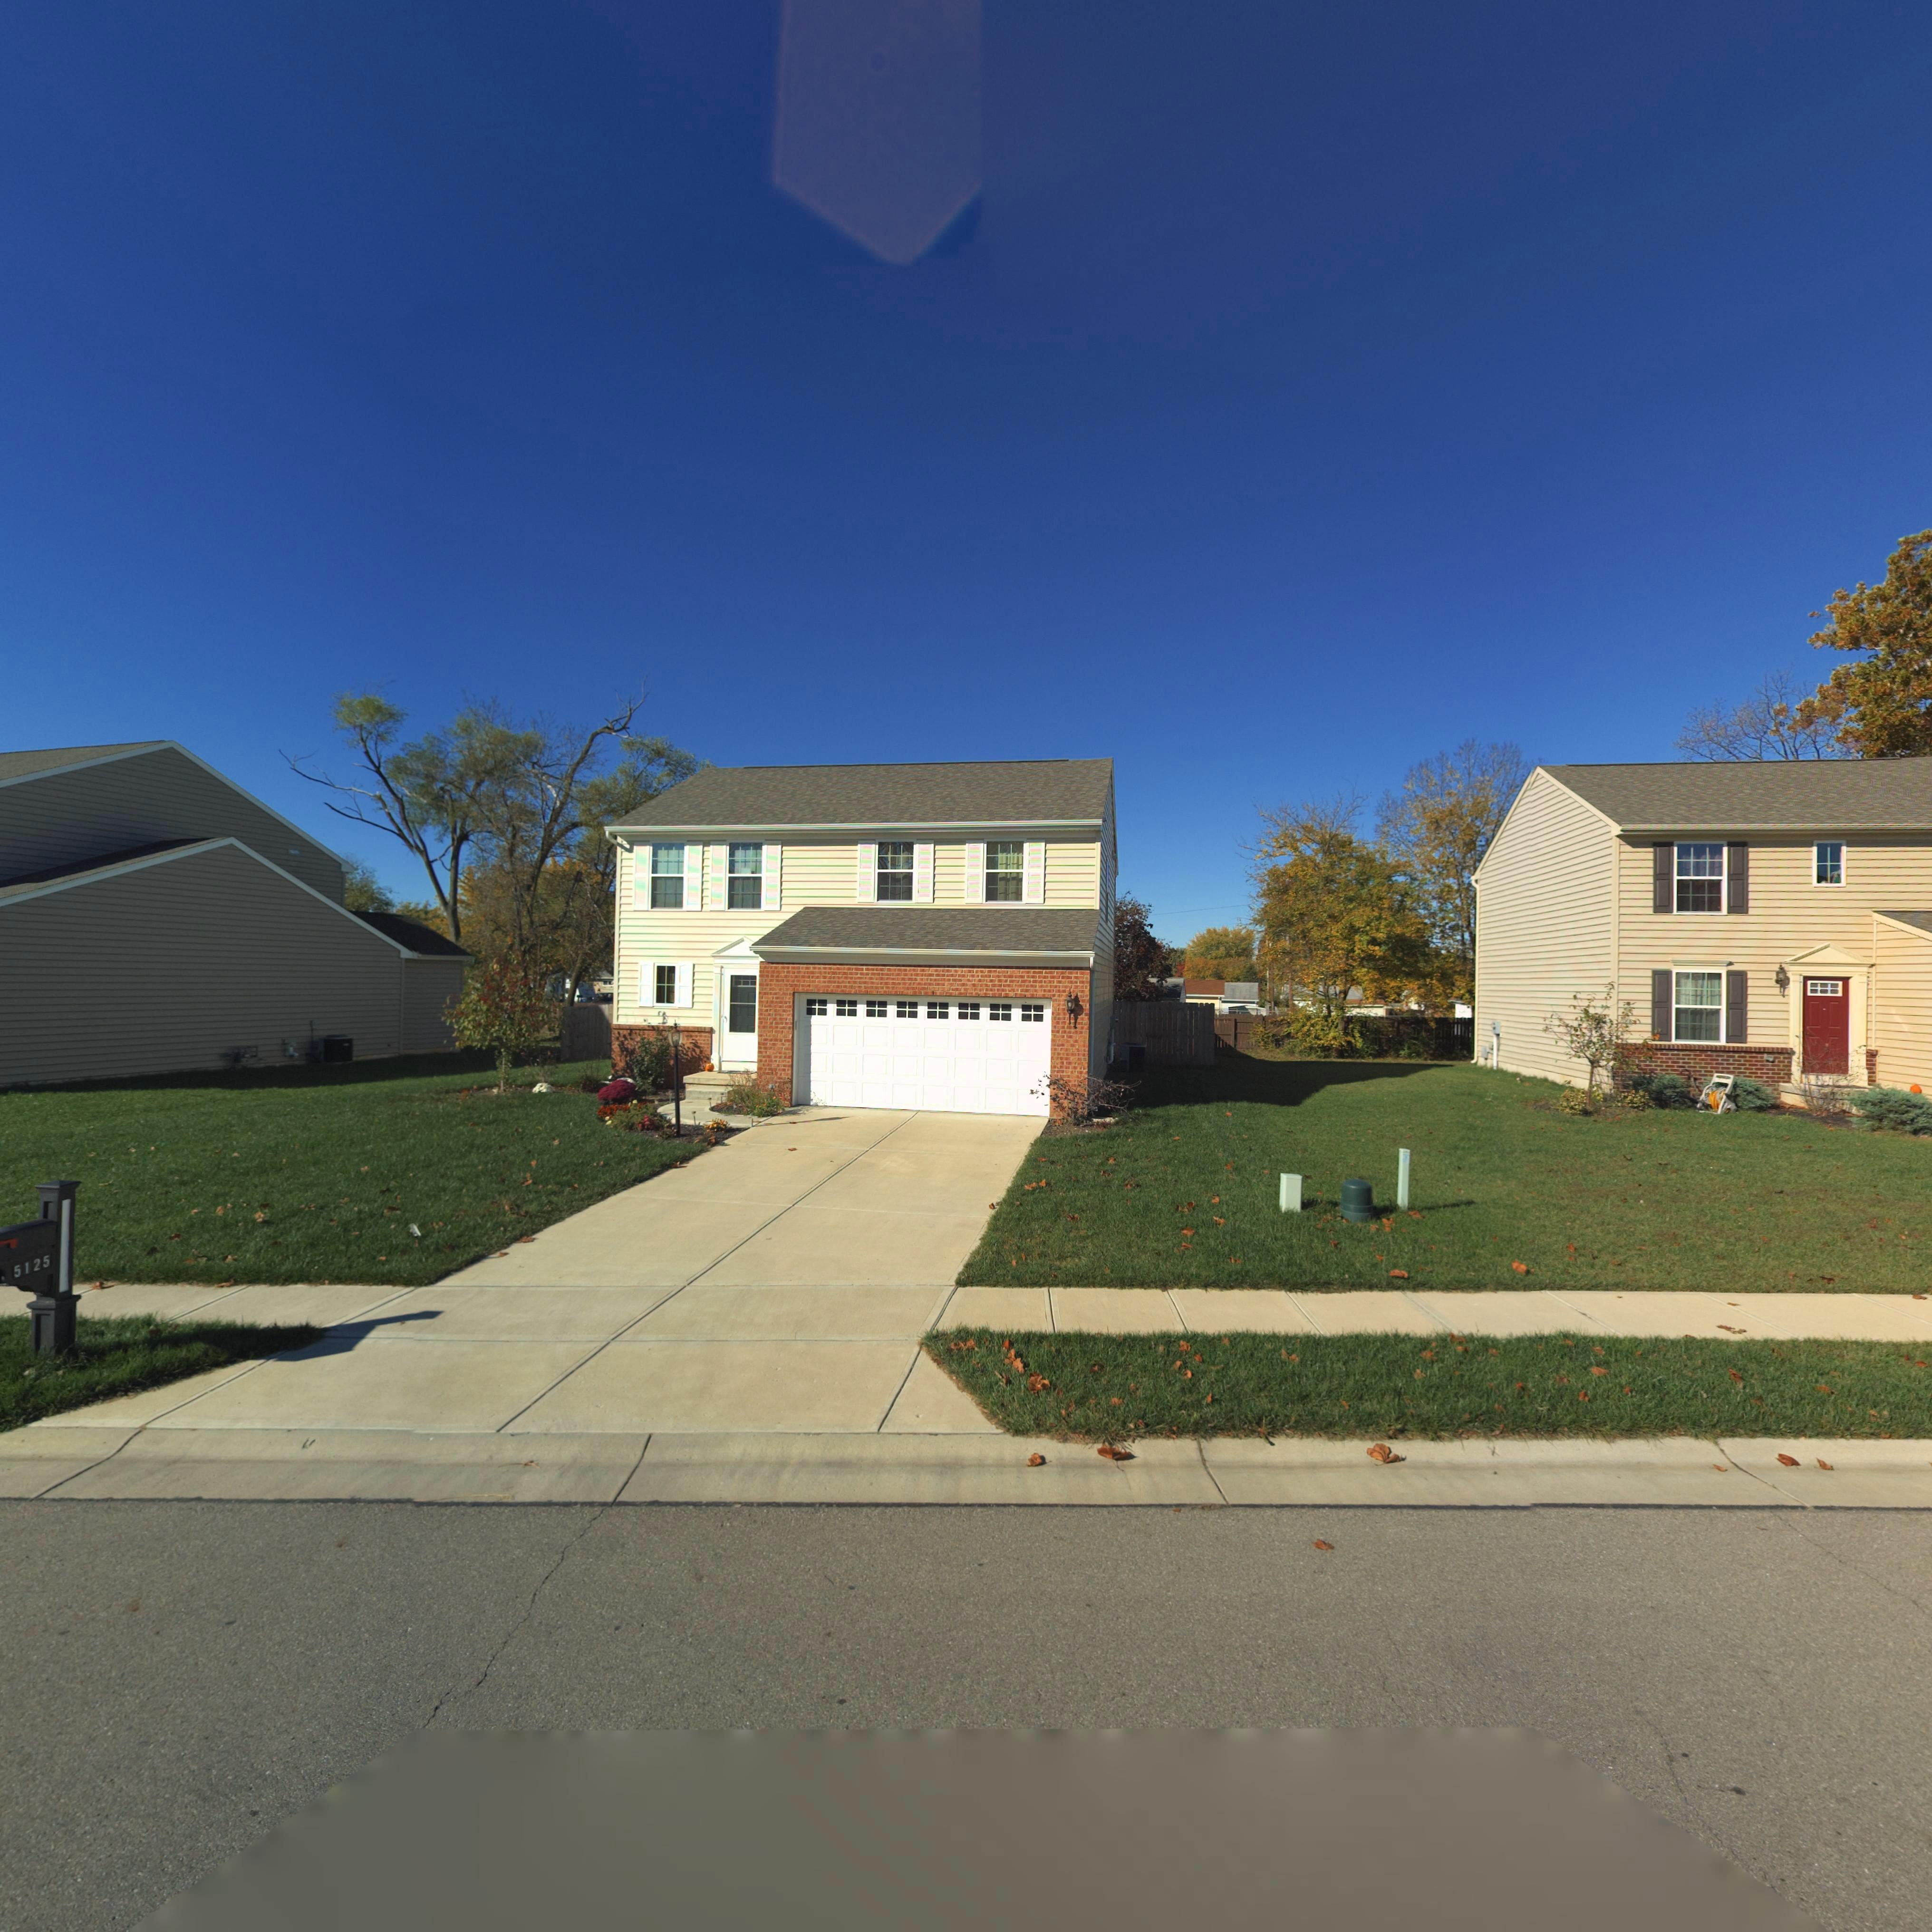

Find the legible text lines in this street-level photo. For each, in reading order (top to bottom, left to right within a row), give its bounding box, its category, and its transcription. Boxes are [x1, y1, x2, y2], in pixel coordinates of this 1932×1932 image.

[13, 1254, 50, 1279] StreetNumber: 5125